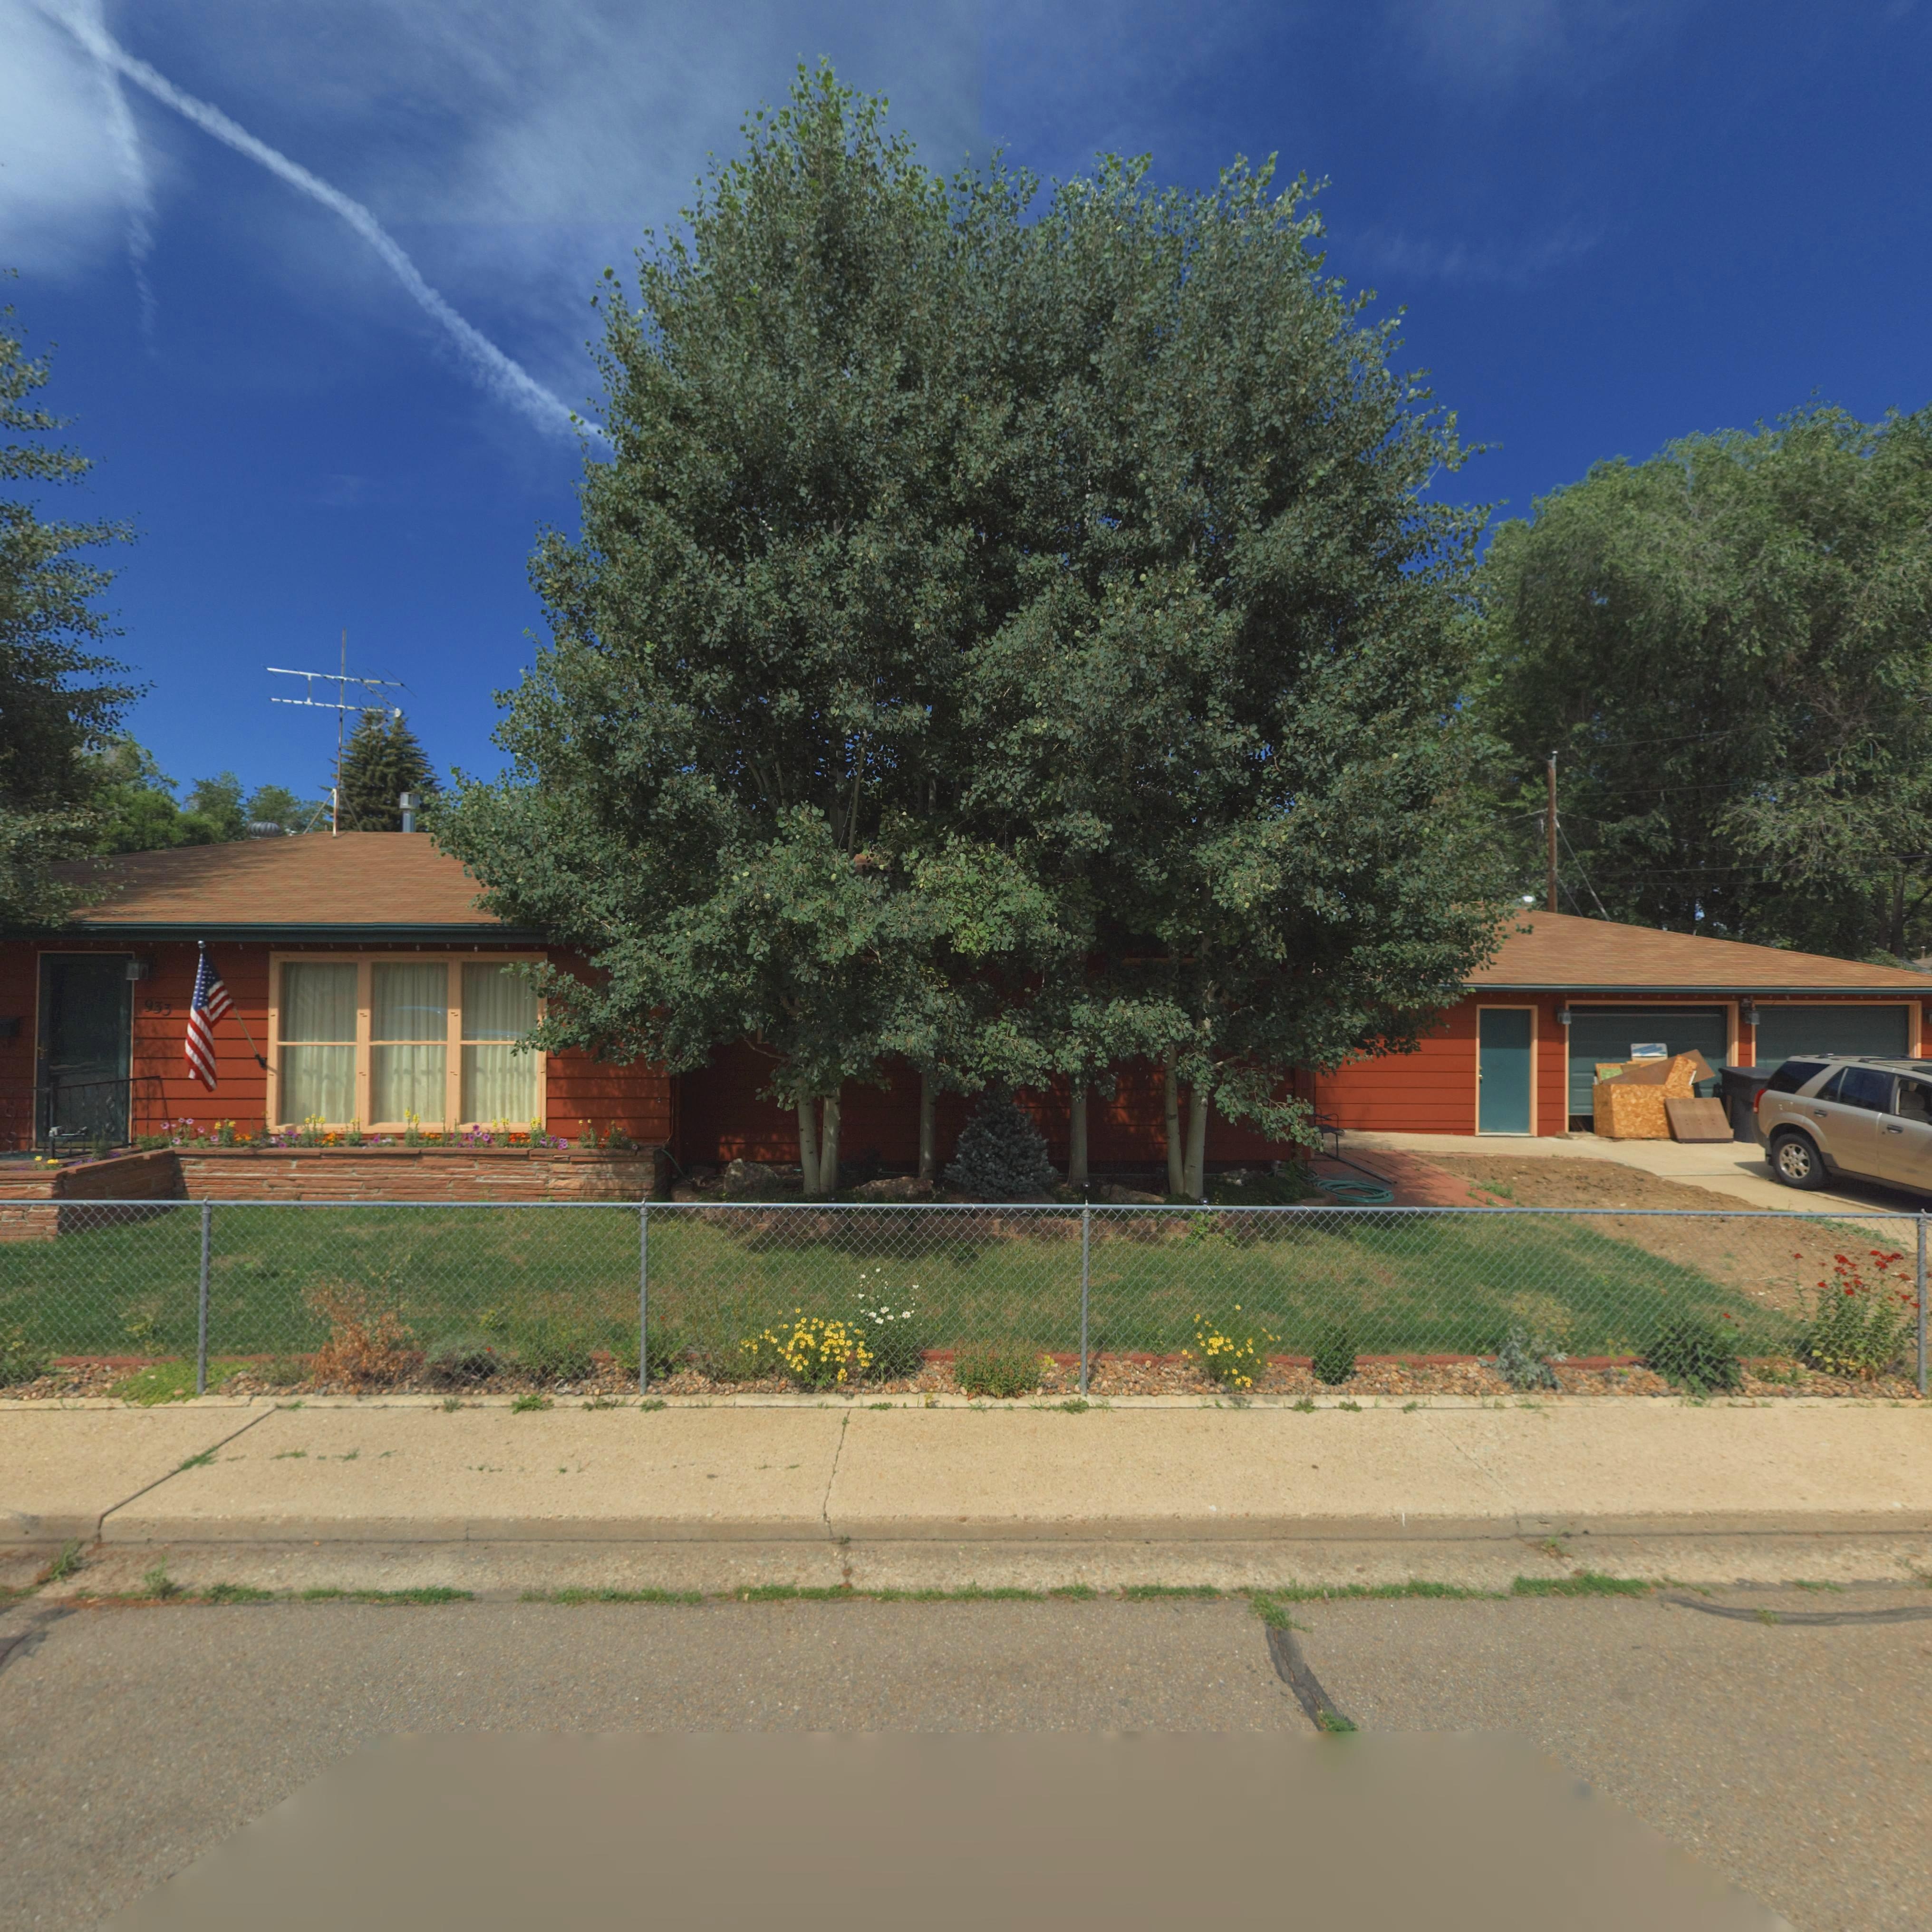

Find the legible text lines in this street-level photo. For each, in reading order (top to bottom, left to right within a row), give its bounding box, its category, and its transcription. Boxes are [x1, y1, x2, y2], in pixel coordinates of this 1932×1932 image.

[145, 999, 171, 1016] StreetNumber: 933